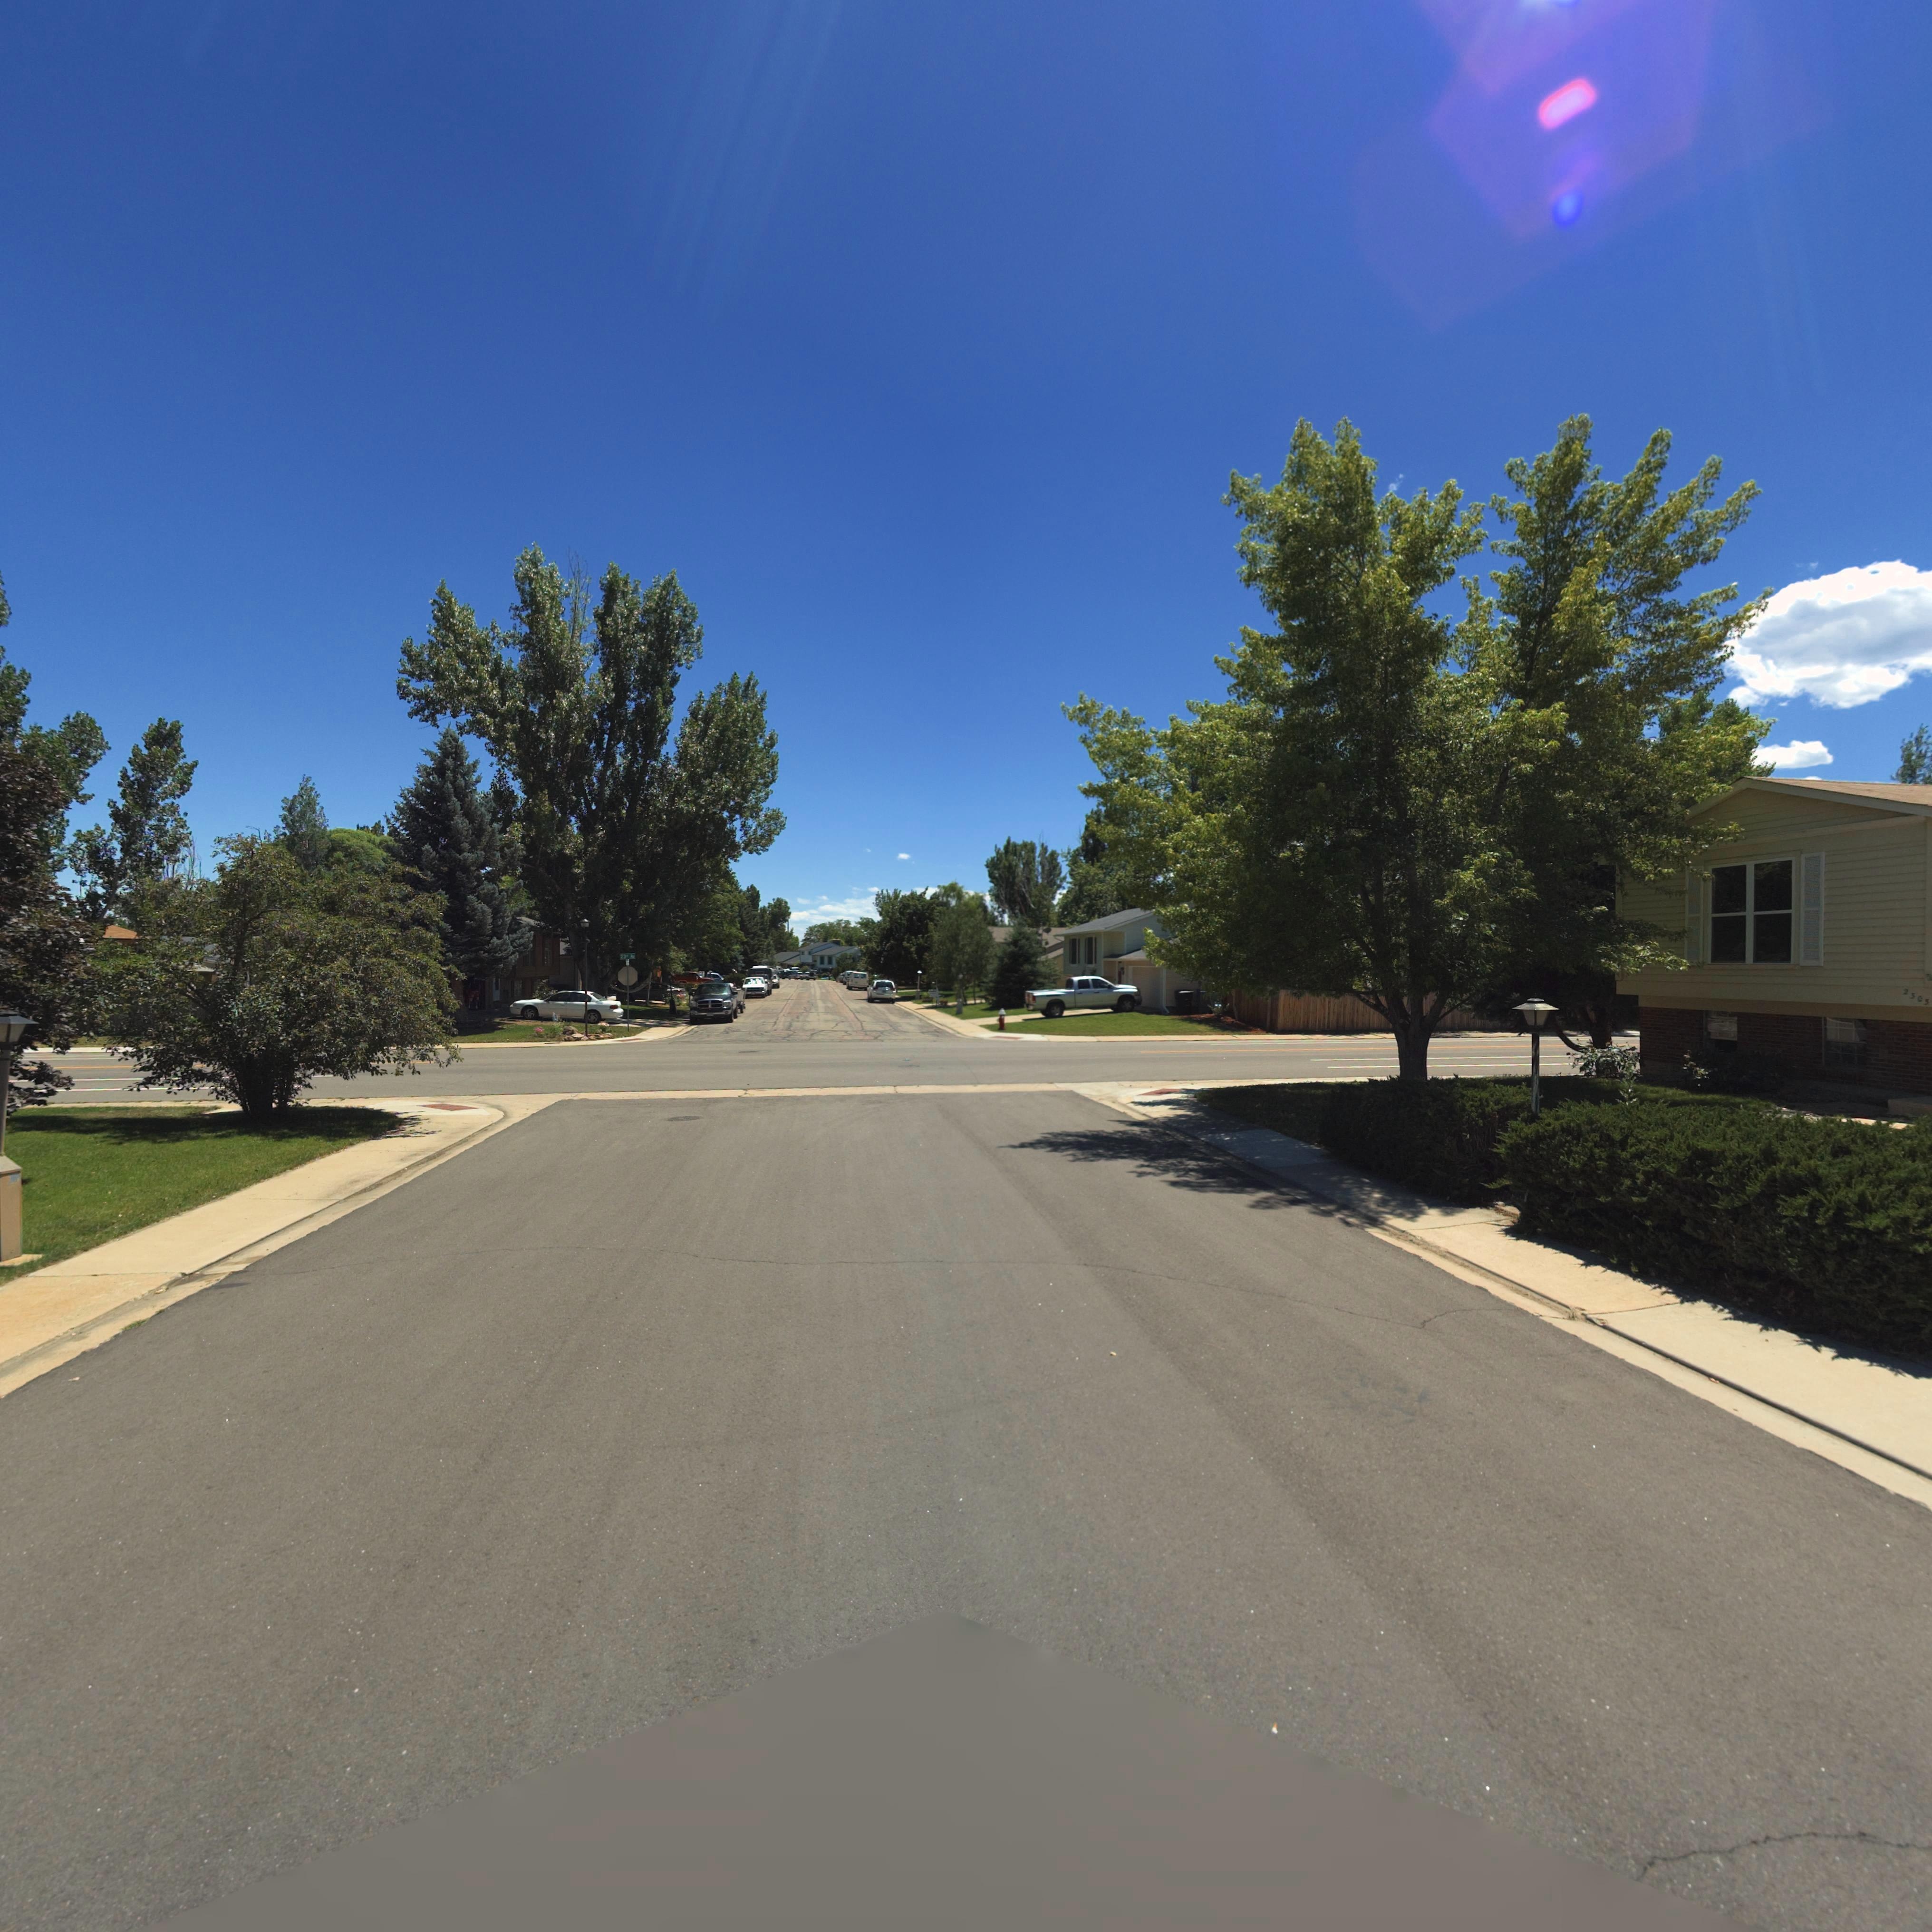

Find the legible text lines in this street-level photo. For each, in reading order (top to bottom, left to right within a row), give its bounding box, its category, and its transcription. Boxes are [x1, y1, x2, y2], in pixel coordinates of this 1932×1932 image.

[620, 954, 636, 959] StreetName: 23** A*
[1903, 988, 1930, 1005] StreetNumber: 2303